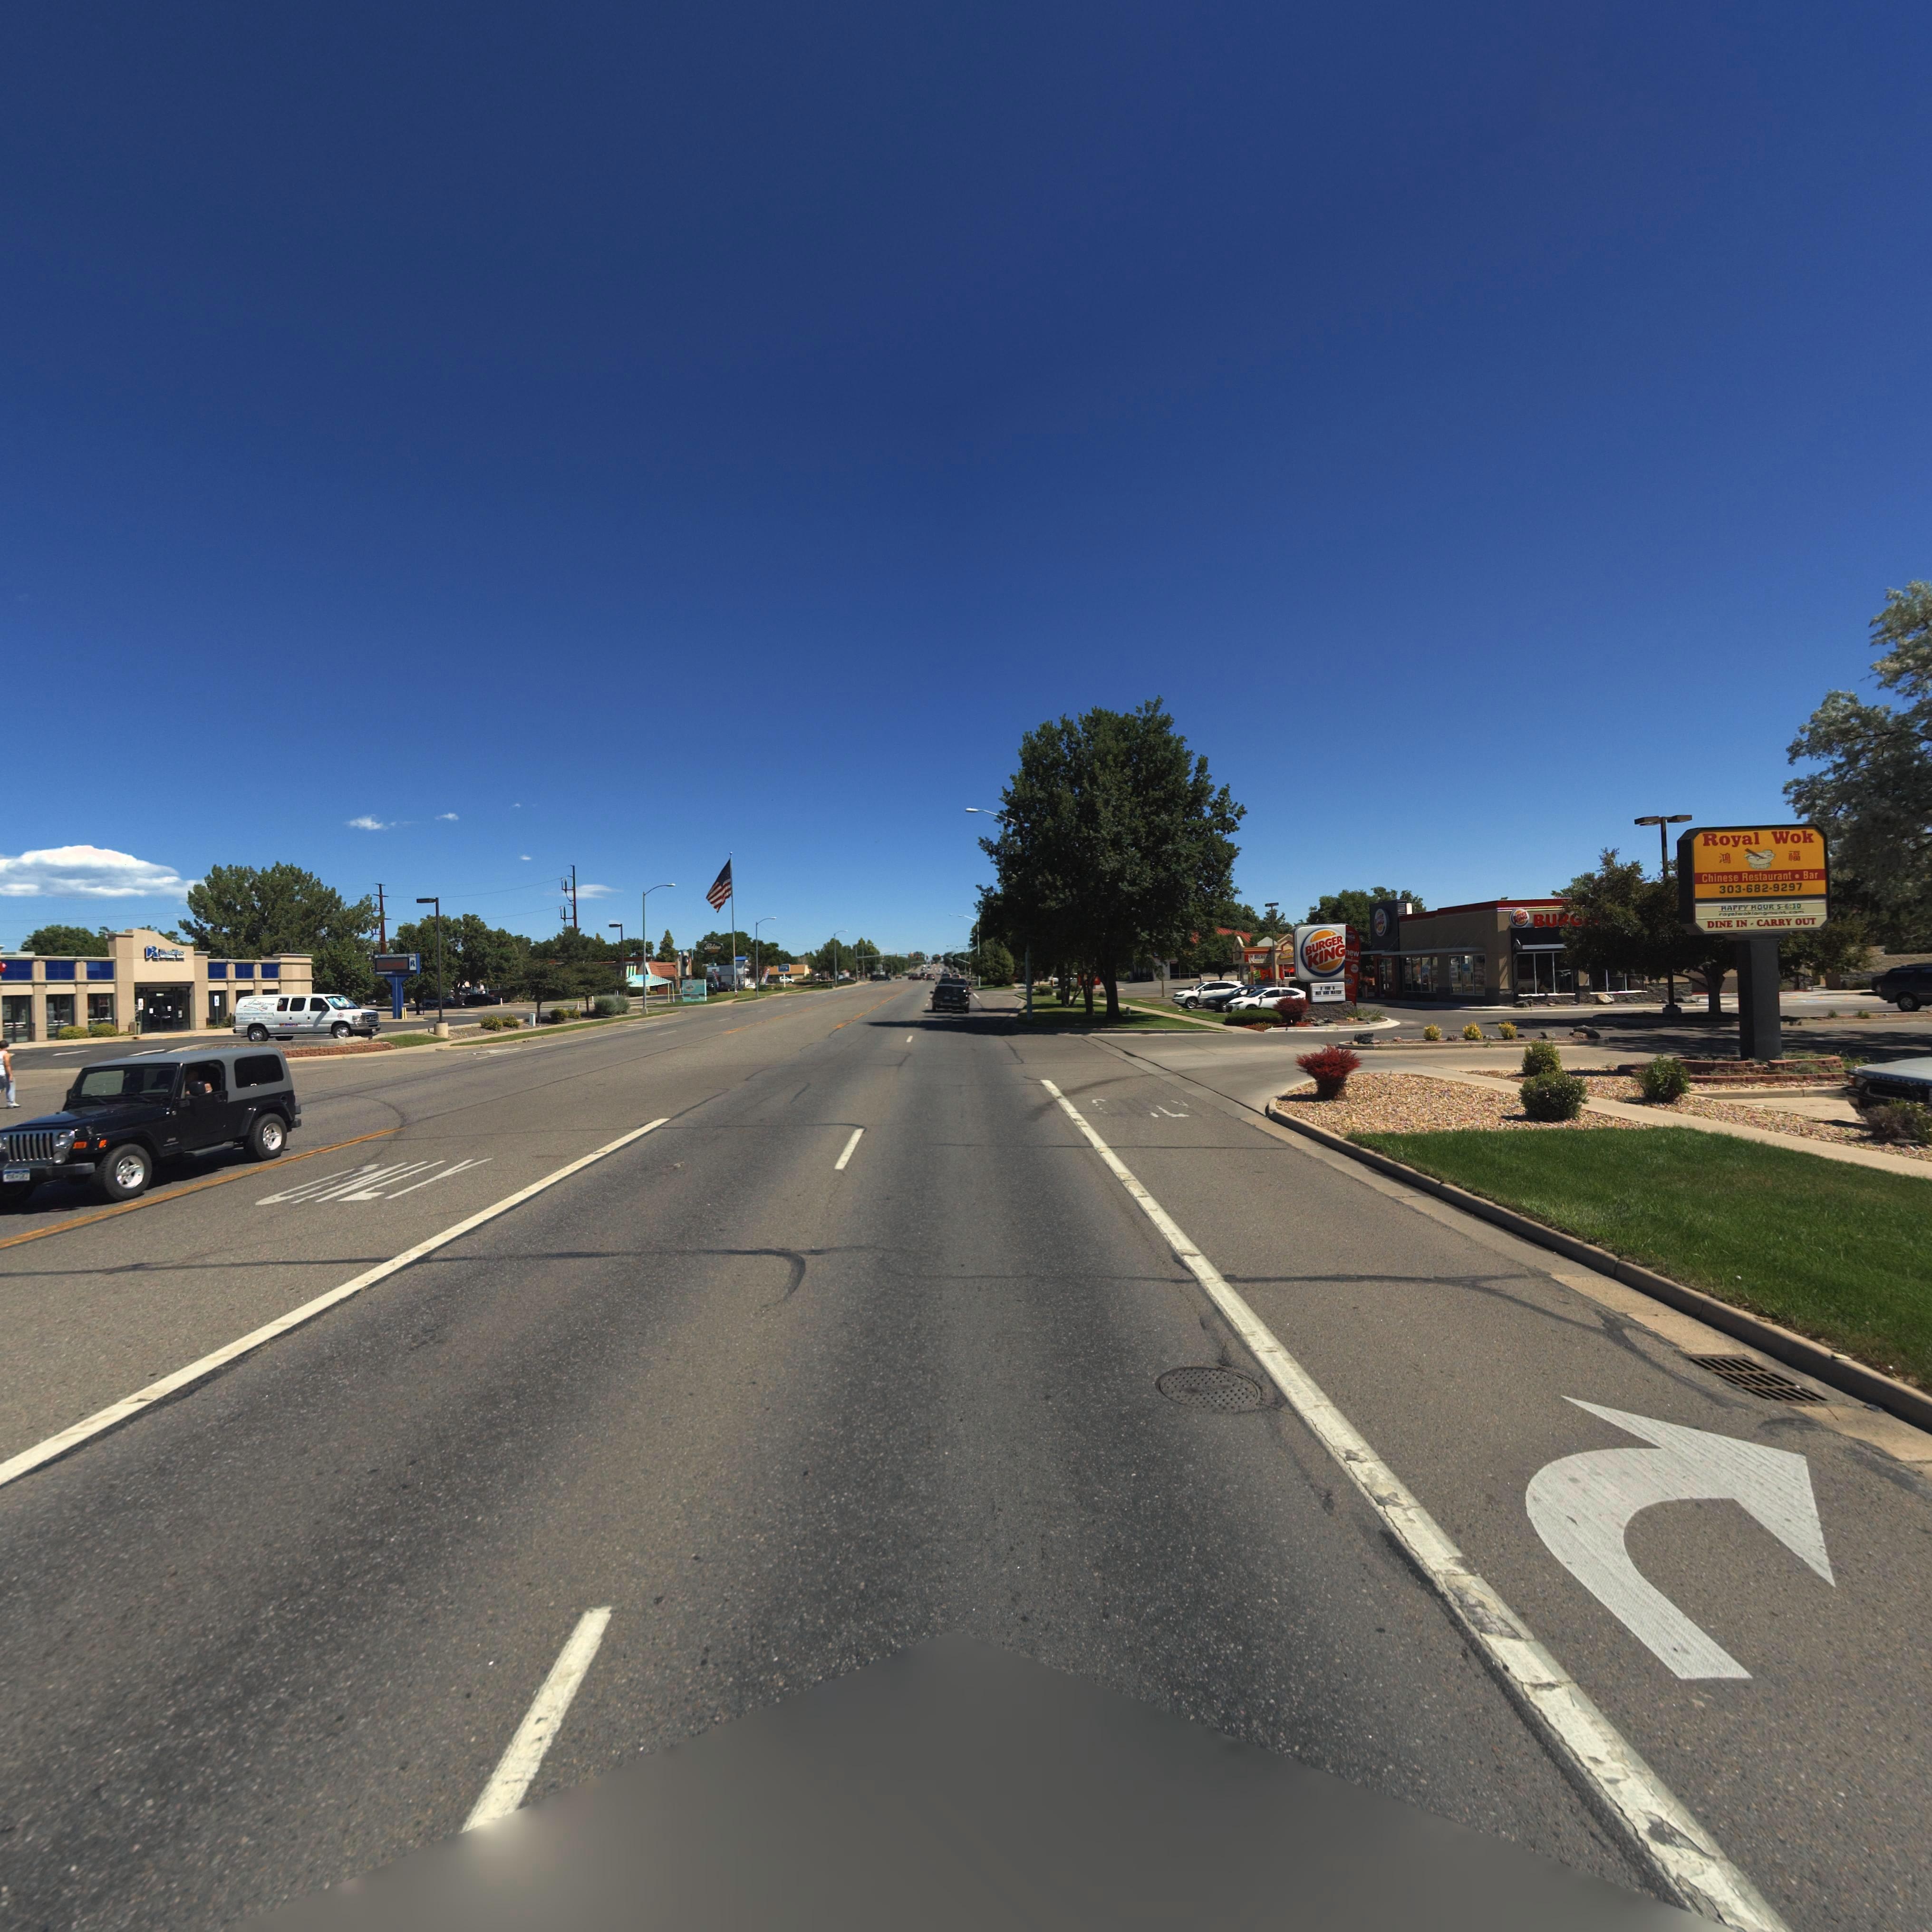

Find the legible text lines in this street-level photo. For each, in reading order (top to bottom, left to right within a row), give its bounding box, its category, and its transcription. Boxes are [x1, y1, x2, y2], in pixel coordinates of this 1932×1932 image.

[1702, 830, 1815, 848] BusinessName: ROYAL WOK
[1375, 917, 1384, 929] BusinessName: *ING
[1513, 910, 1526, 920] BusinessName: BURGER
[1514, 914, 1528, 925] BusinessName: KING
[1533, 913, 1570, 927] BusinessName: BU*
[146, 945, 185, 958] BusinessName: R*****
[704, 943, 721, 950] BusinessName: Perkins
[1304, 935, 1343, 957] BusinessName: BURGER
[1307, 944, 1346, 969] BusinessName: KING